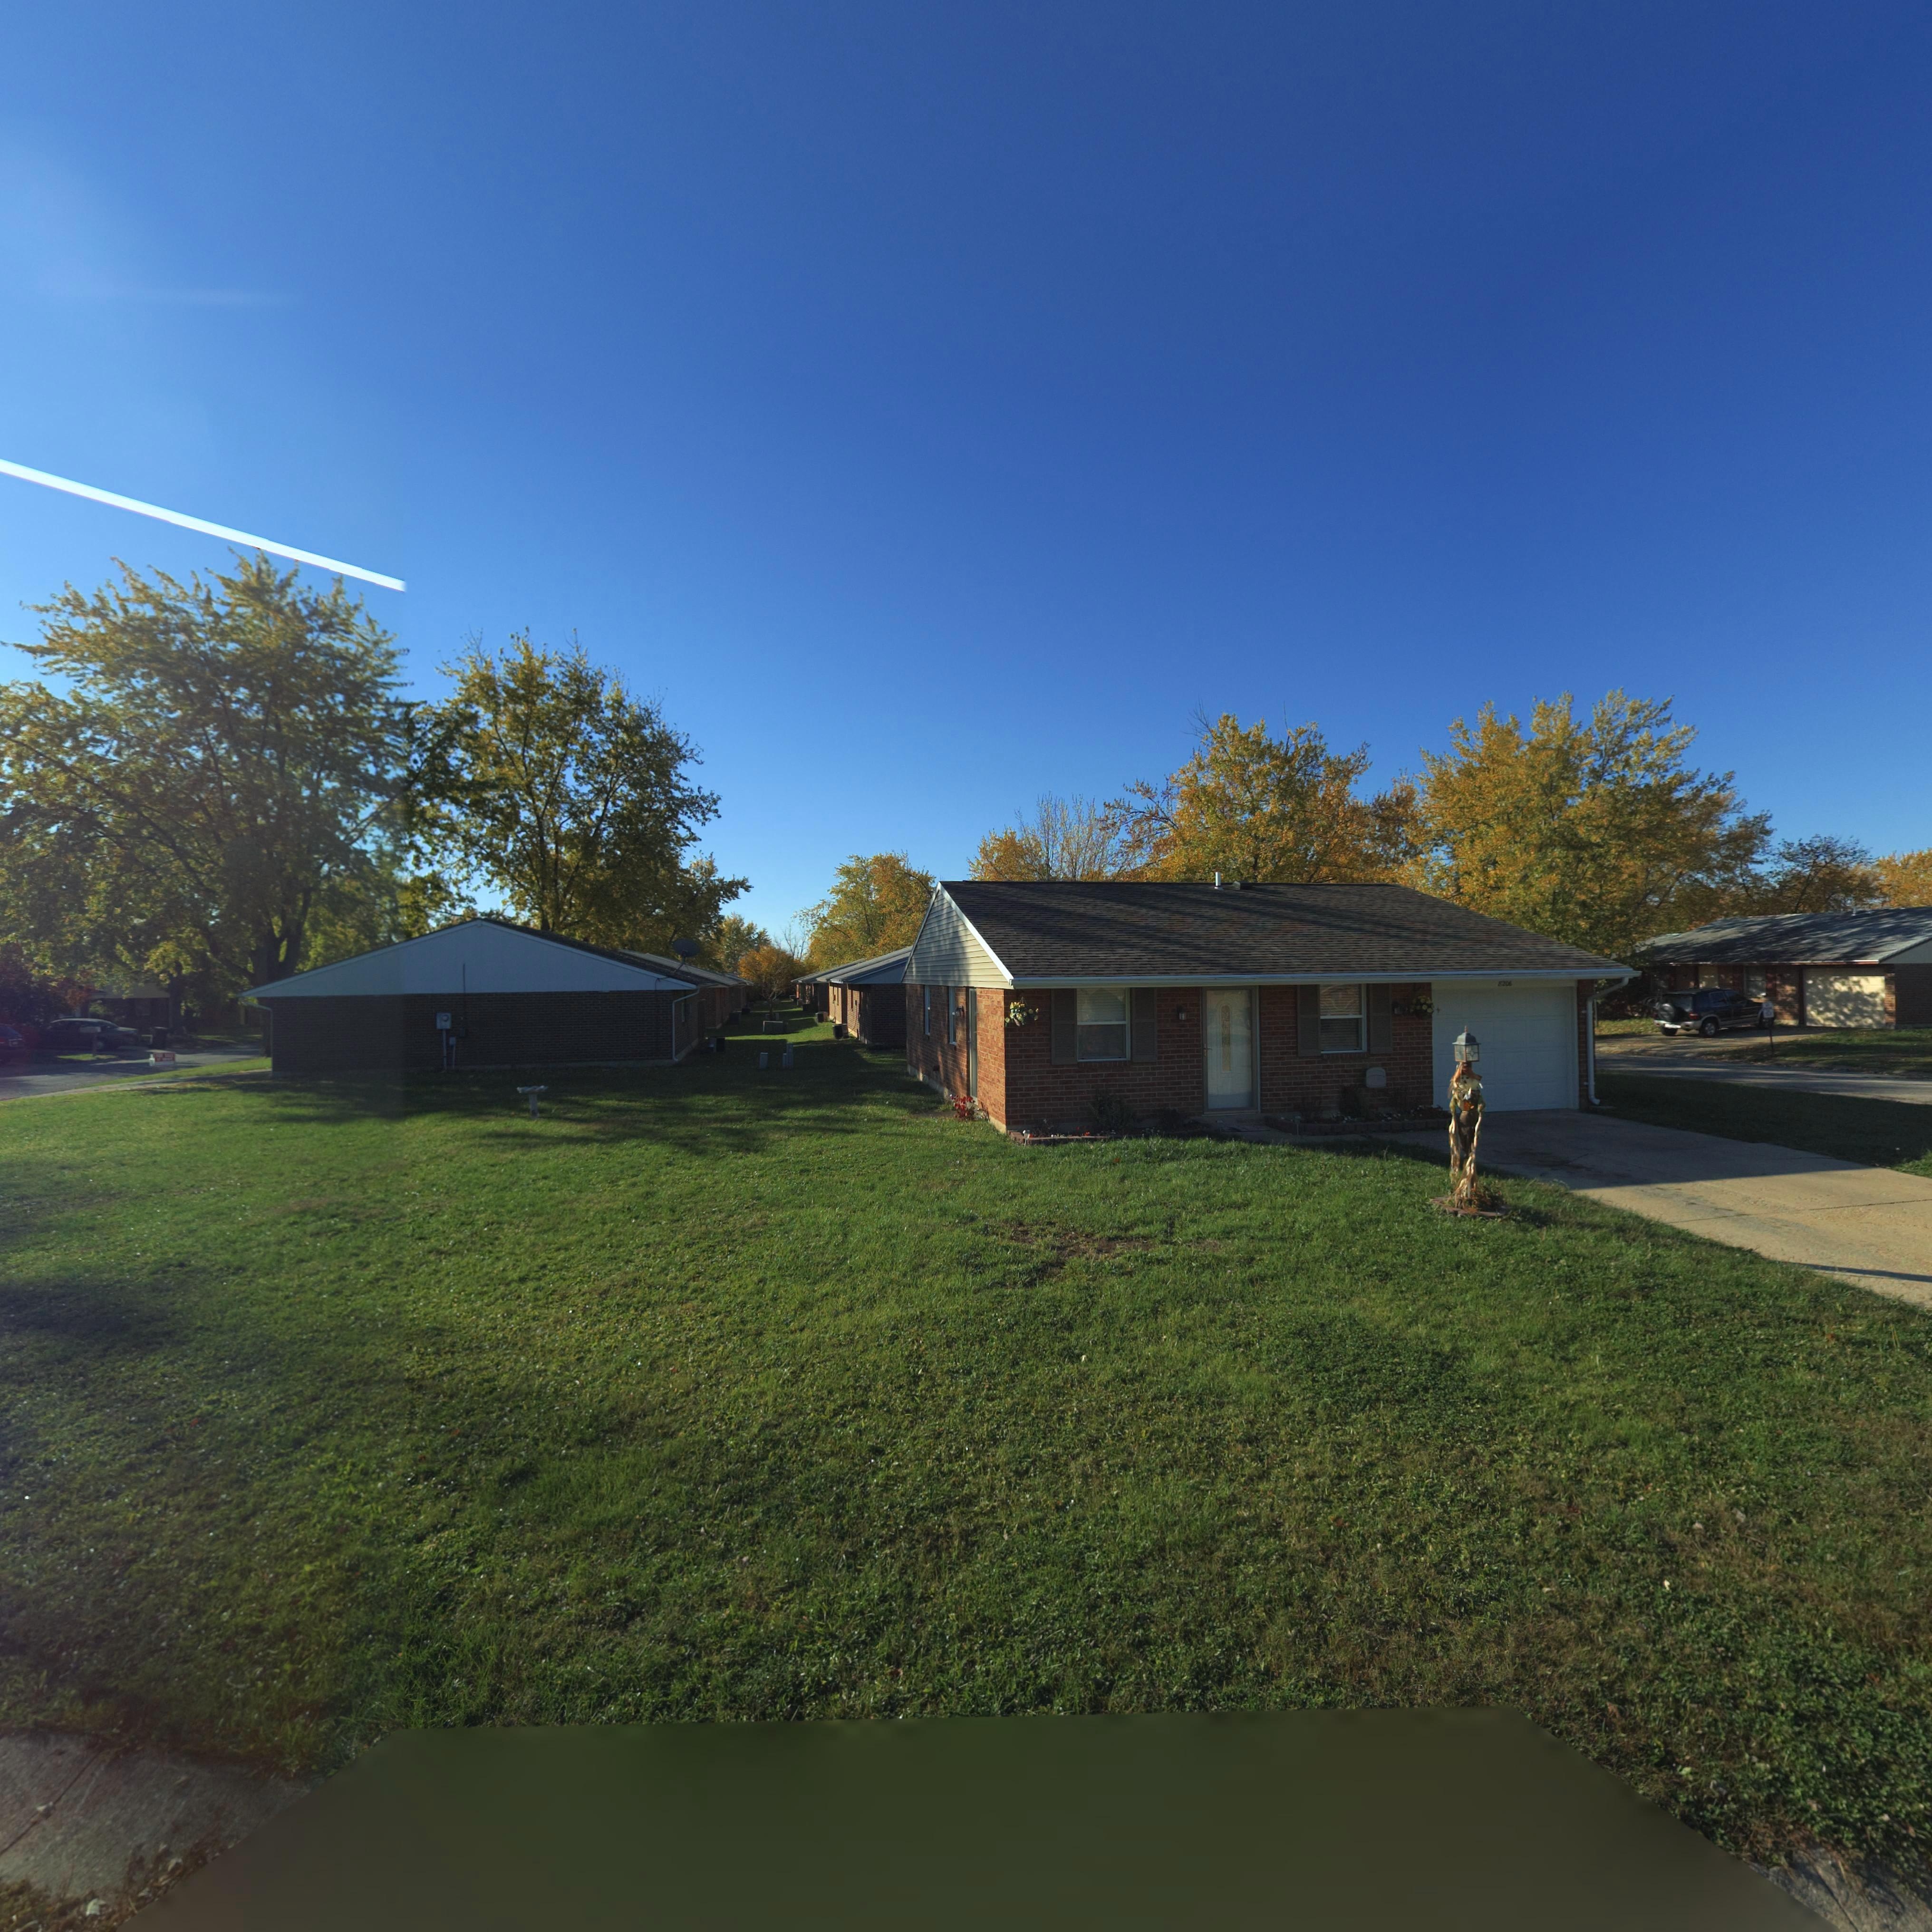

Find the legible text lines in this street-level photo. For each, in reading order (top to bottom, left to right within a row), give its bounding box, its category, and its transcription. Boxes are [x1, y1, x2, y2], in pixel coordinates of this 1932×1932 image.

[1497, 979, 1514, 988] StreetNumber: 8206